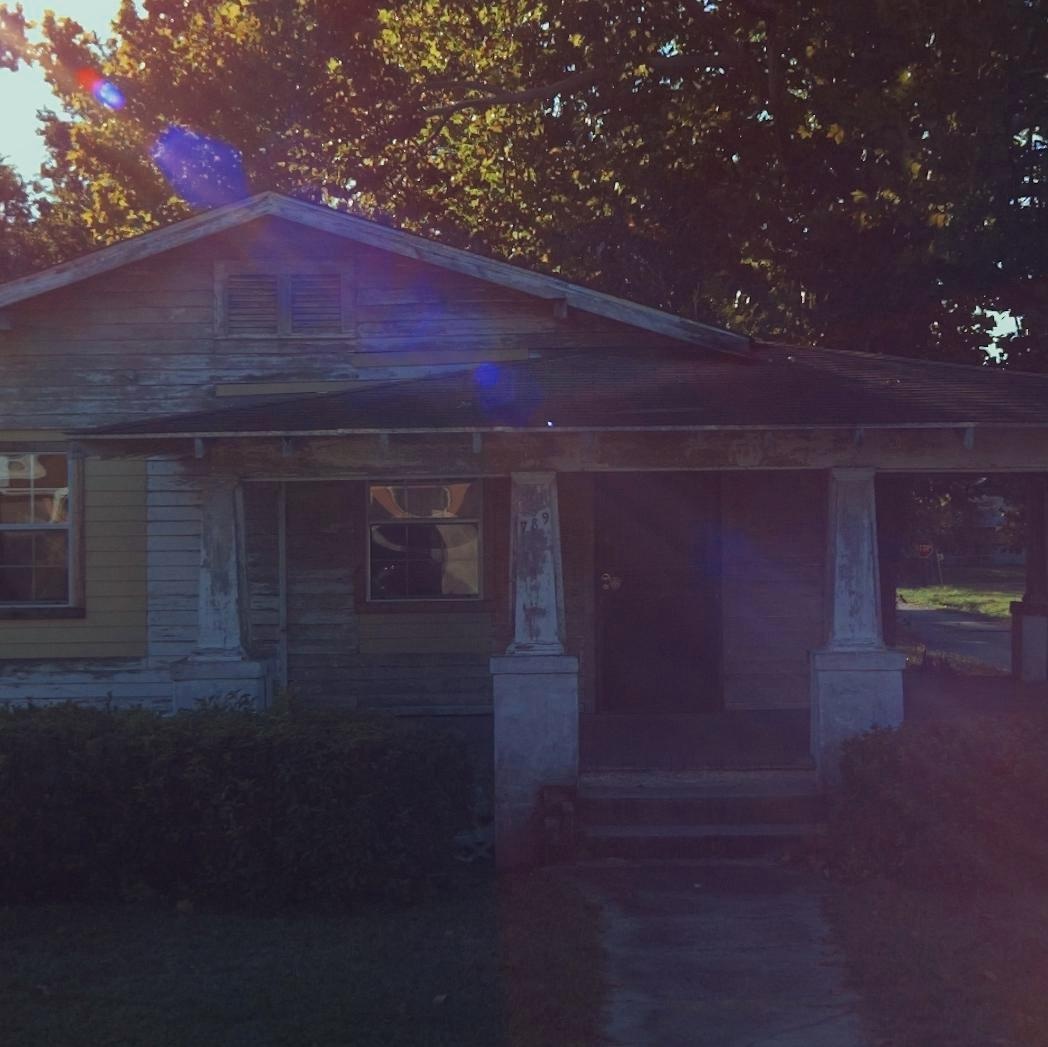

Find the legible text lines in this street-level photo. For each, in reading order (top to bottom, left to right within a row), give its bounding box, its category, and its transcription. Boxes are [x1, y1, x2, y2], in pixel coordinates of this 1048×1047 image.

[518, 507, 551, 537] StreetNumber: 789